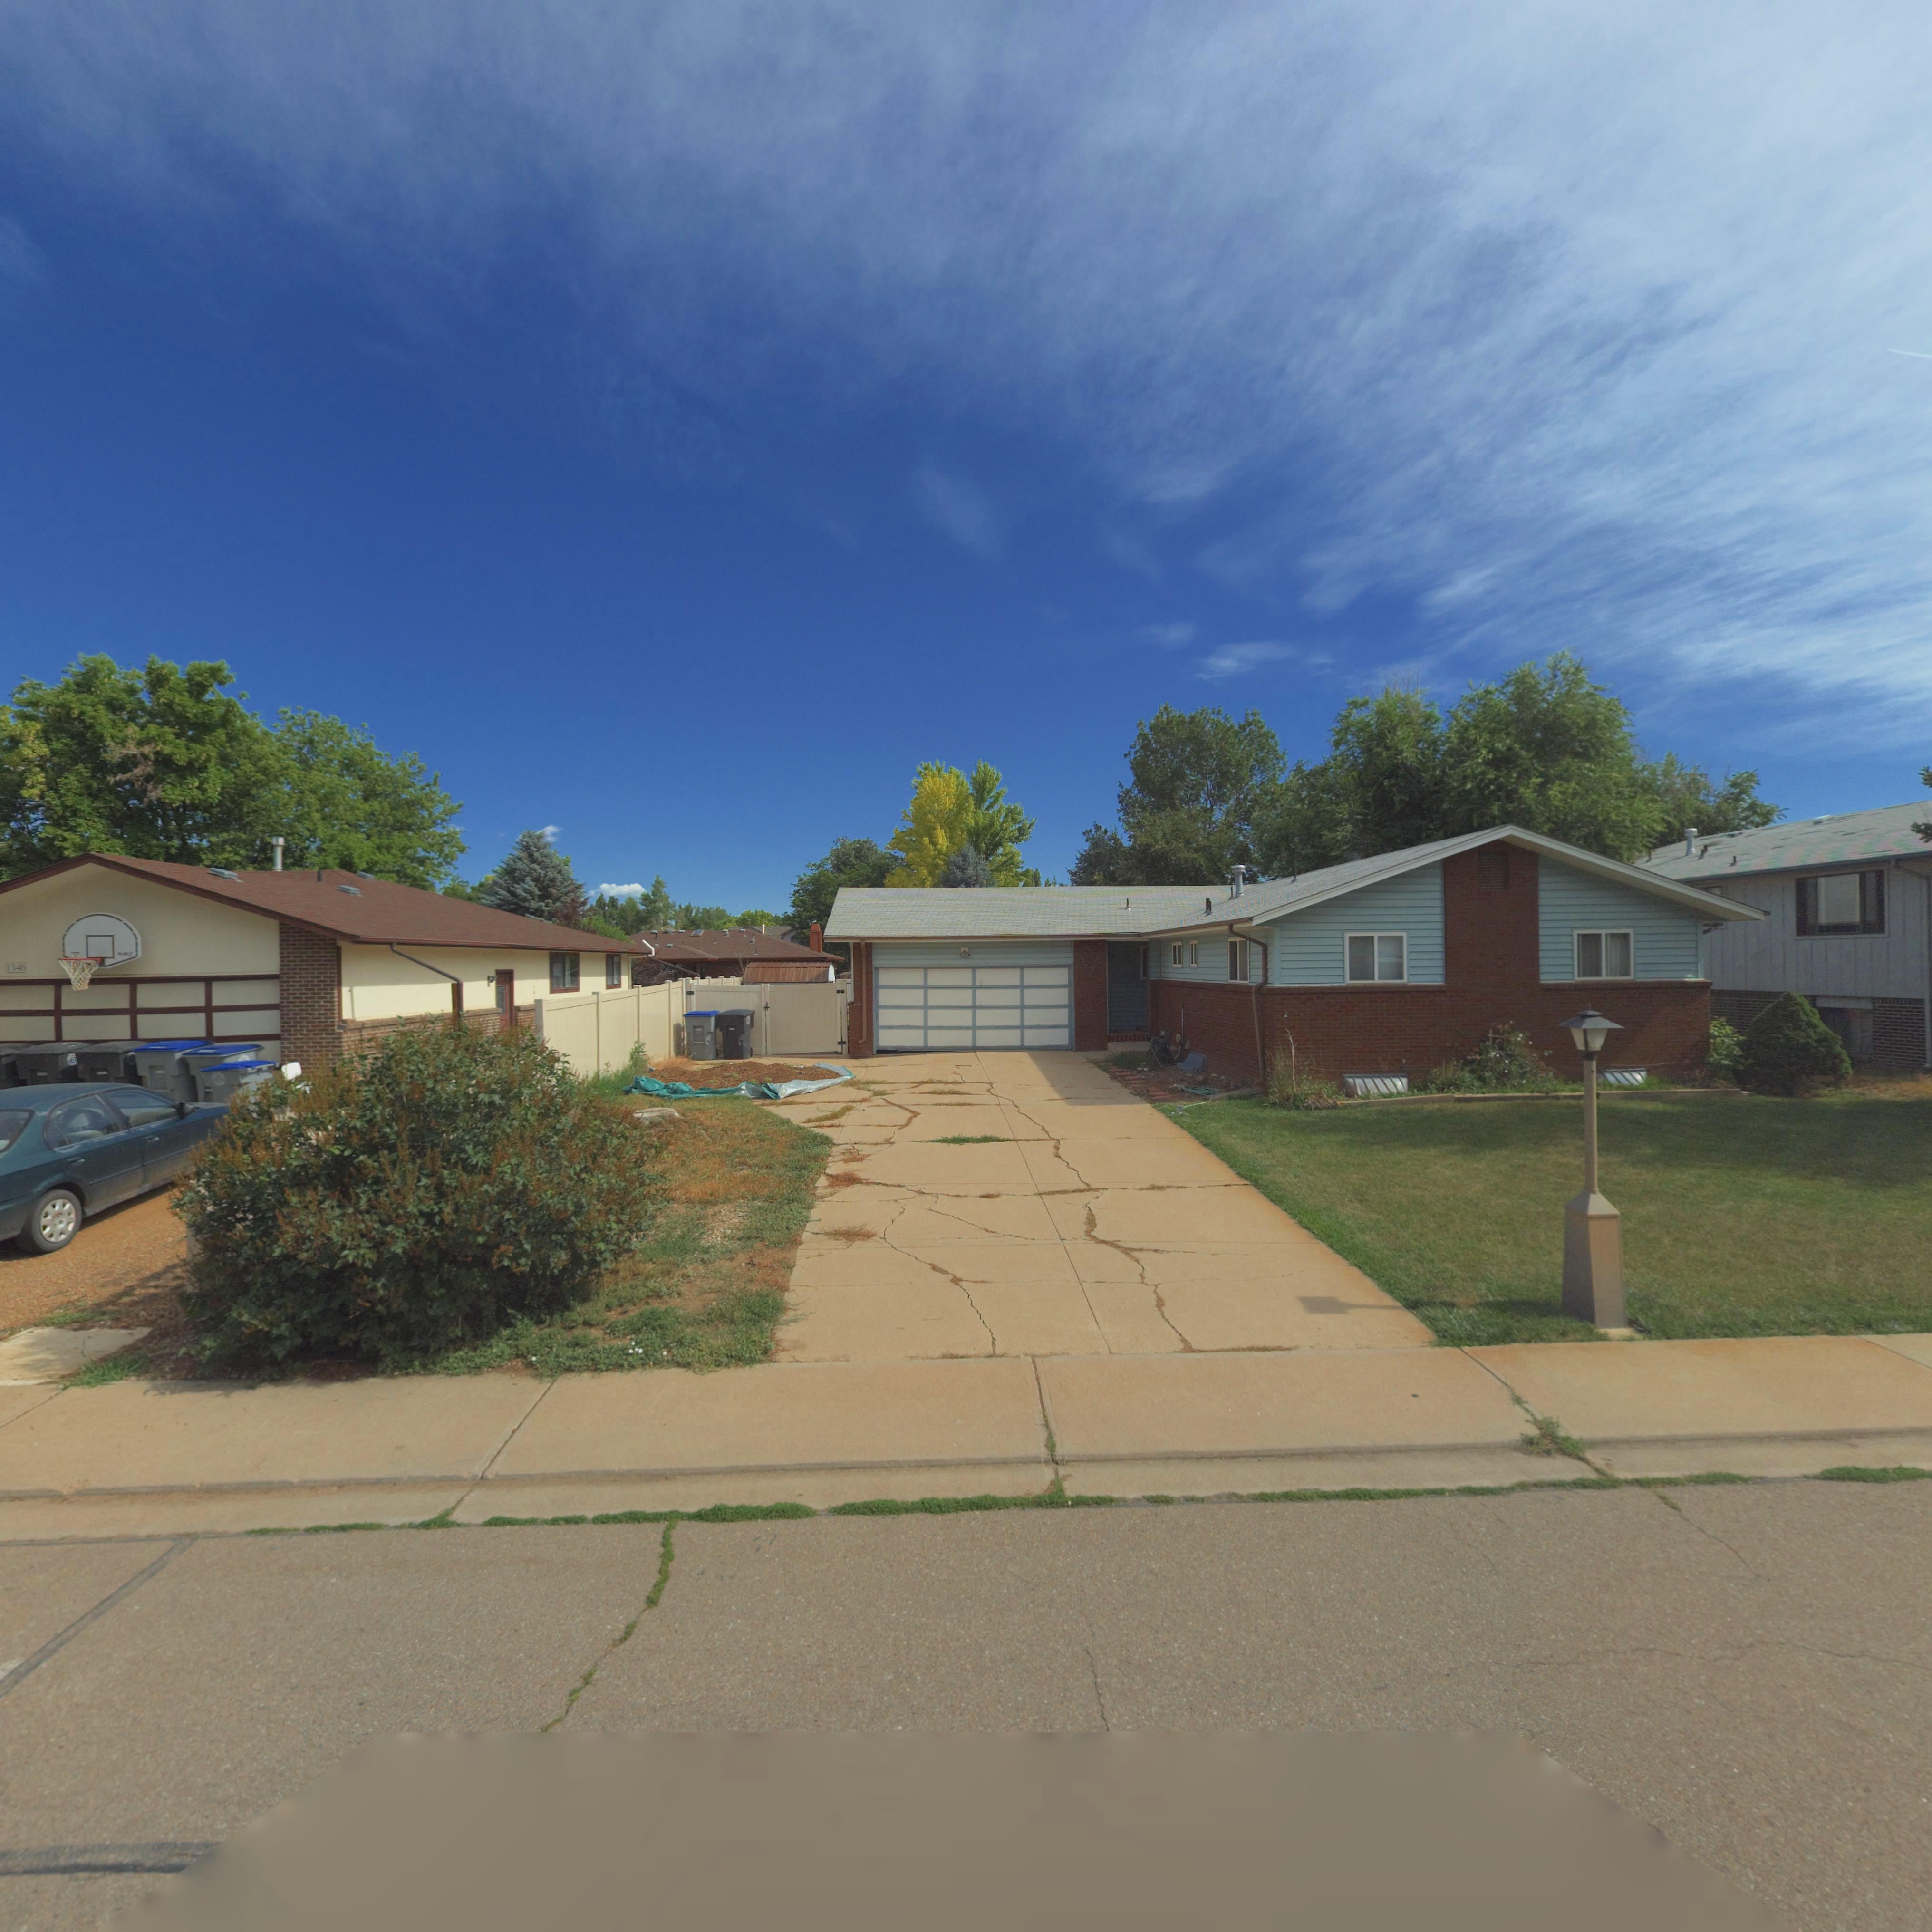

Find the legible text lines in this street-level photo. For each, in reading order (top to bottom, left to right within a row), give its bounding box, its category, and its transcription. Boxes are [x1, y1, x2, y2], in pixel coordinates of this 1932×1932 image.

[6, 963, 26, 971] StreetNumber: 1346